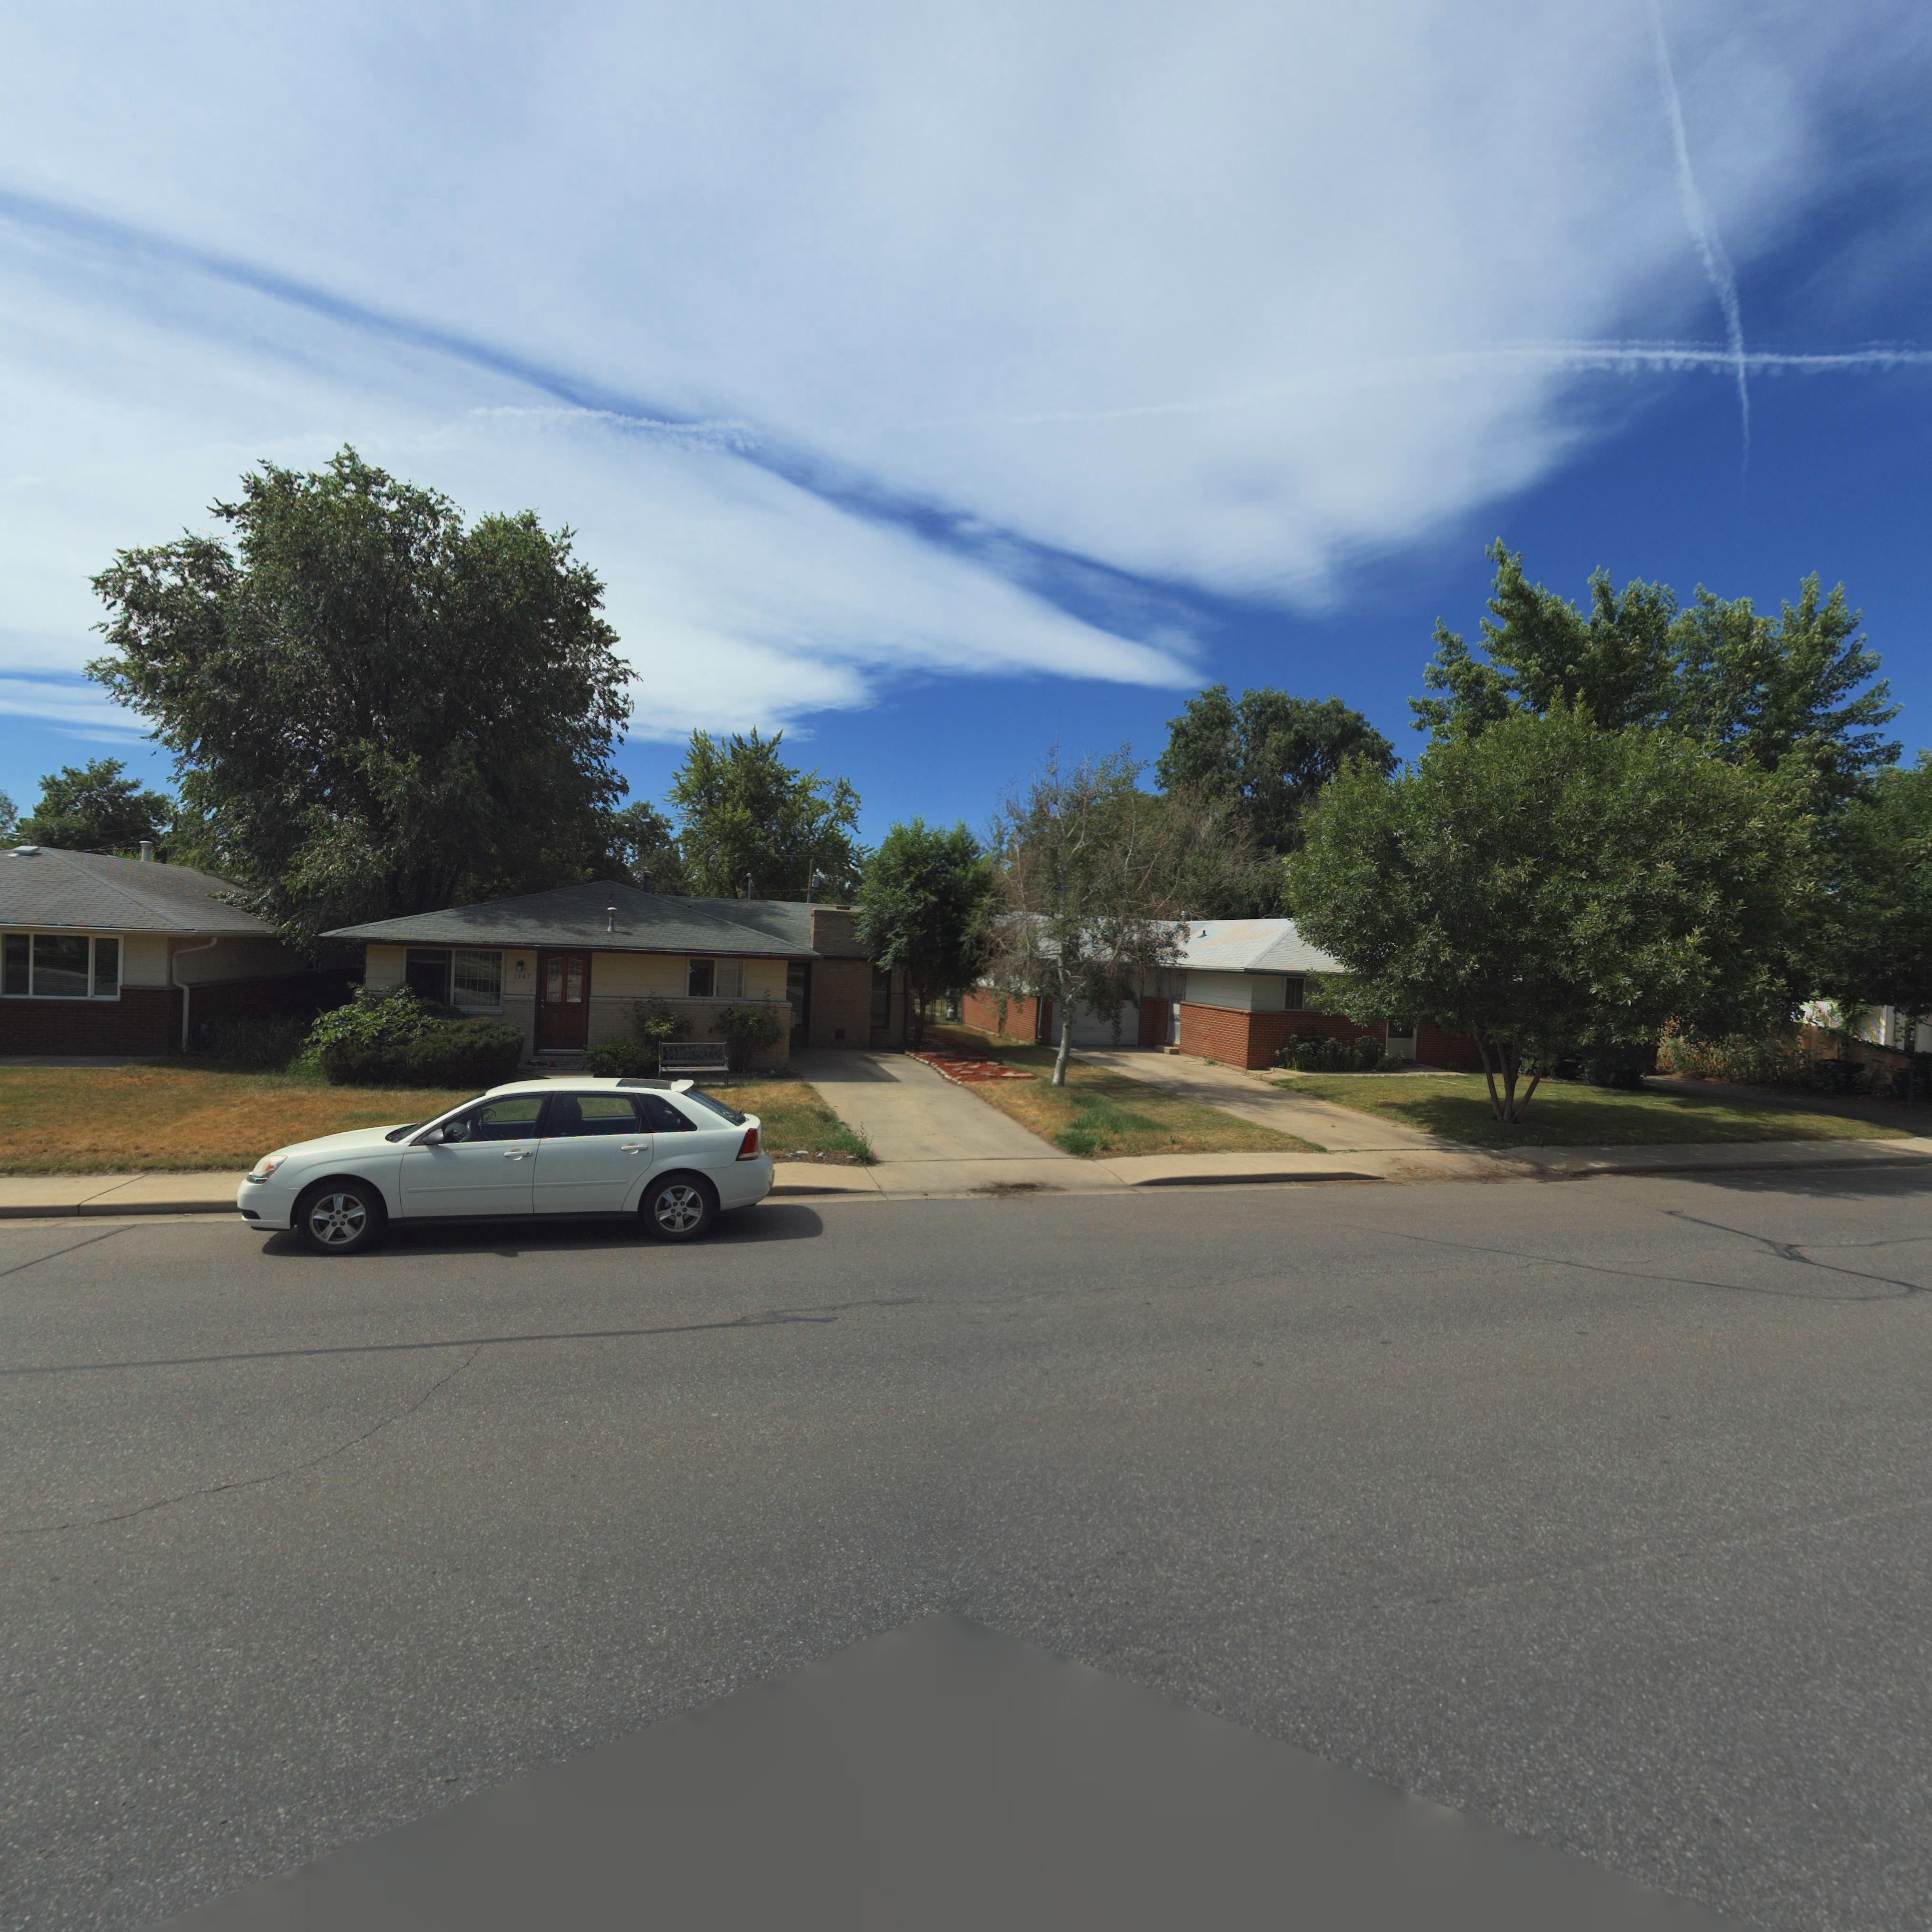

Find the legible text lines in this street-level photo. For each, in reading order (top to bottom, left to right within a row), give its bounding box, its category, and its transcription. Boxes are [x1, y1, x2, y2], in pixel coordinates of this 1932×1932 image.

[514, 973, 531, 979] StreetNumber: 1347